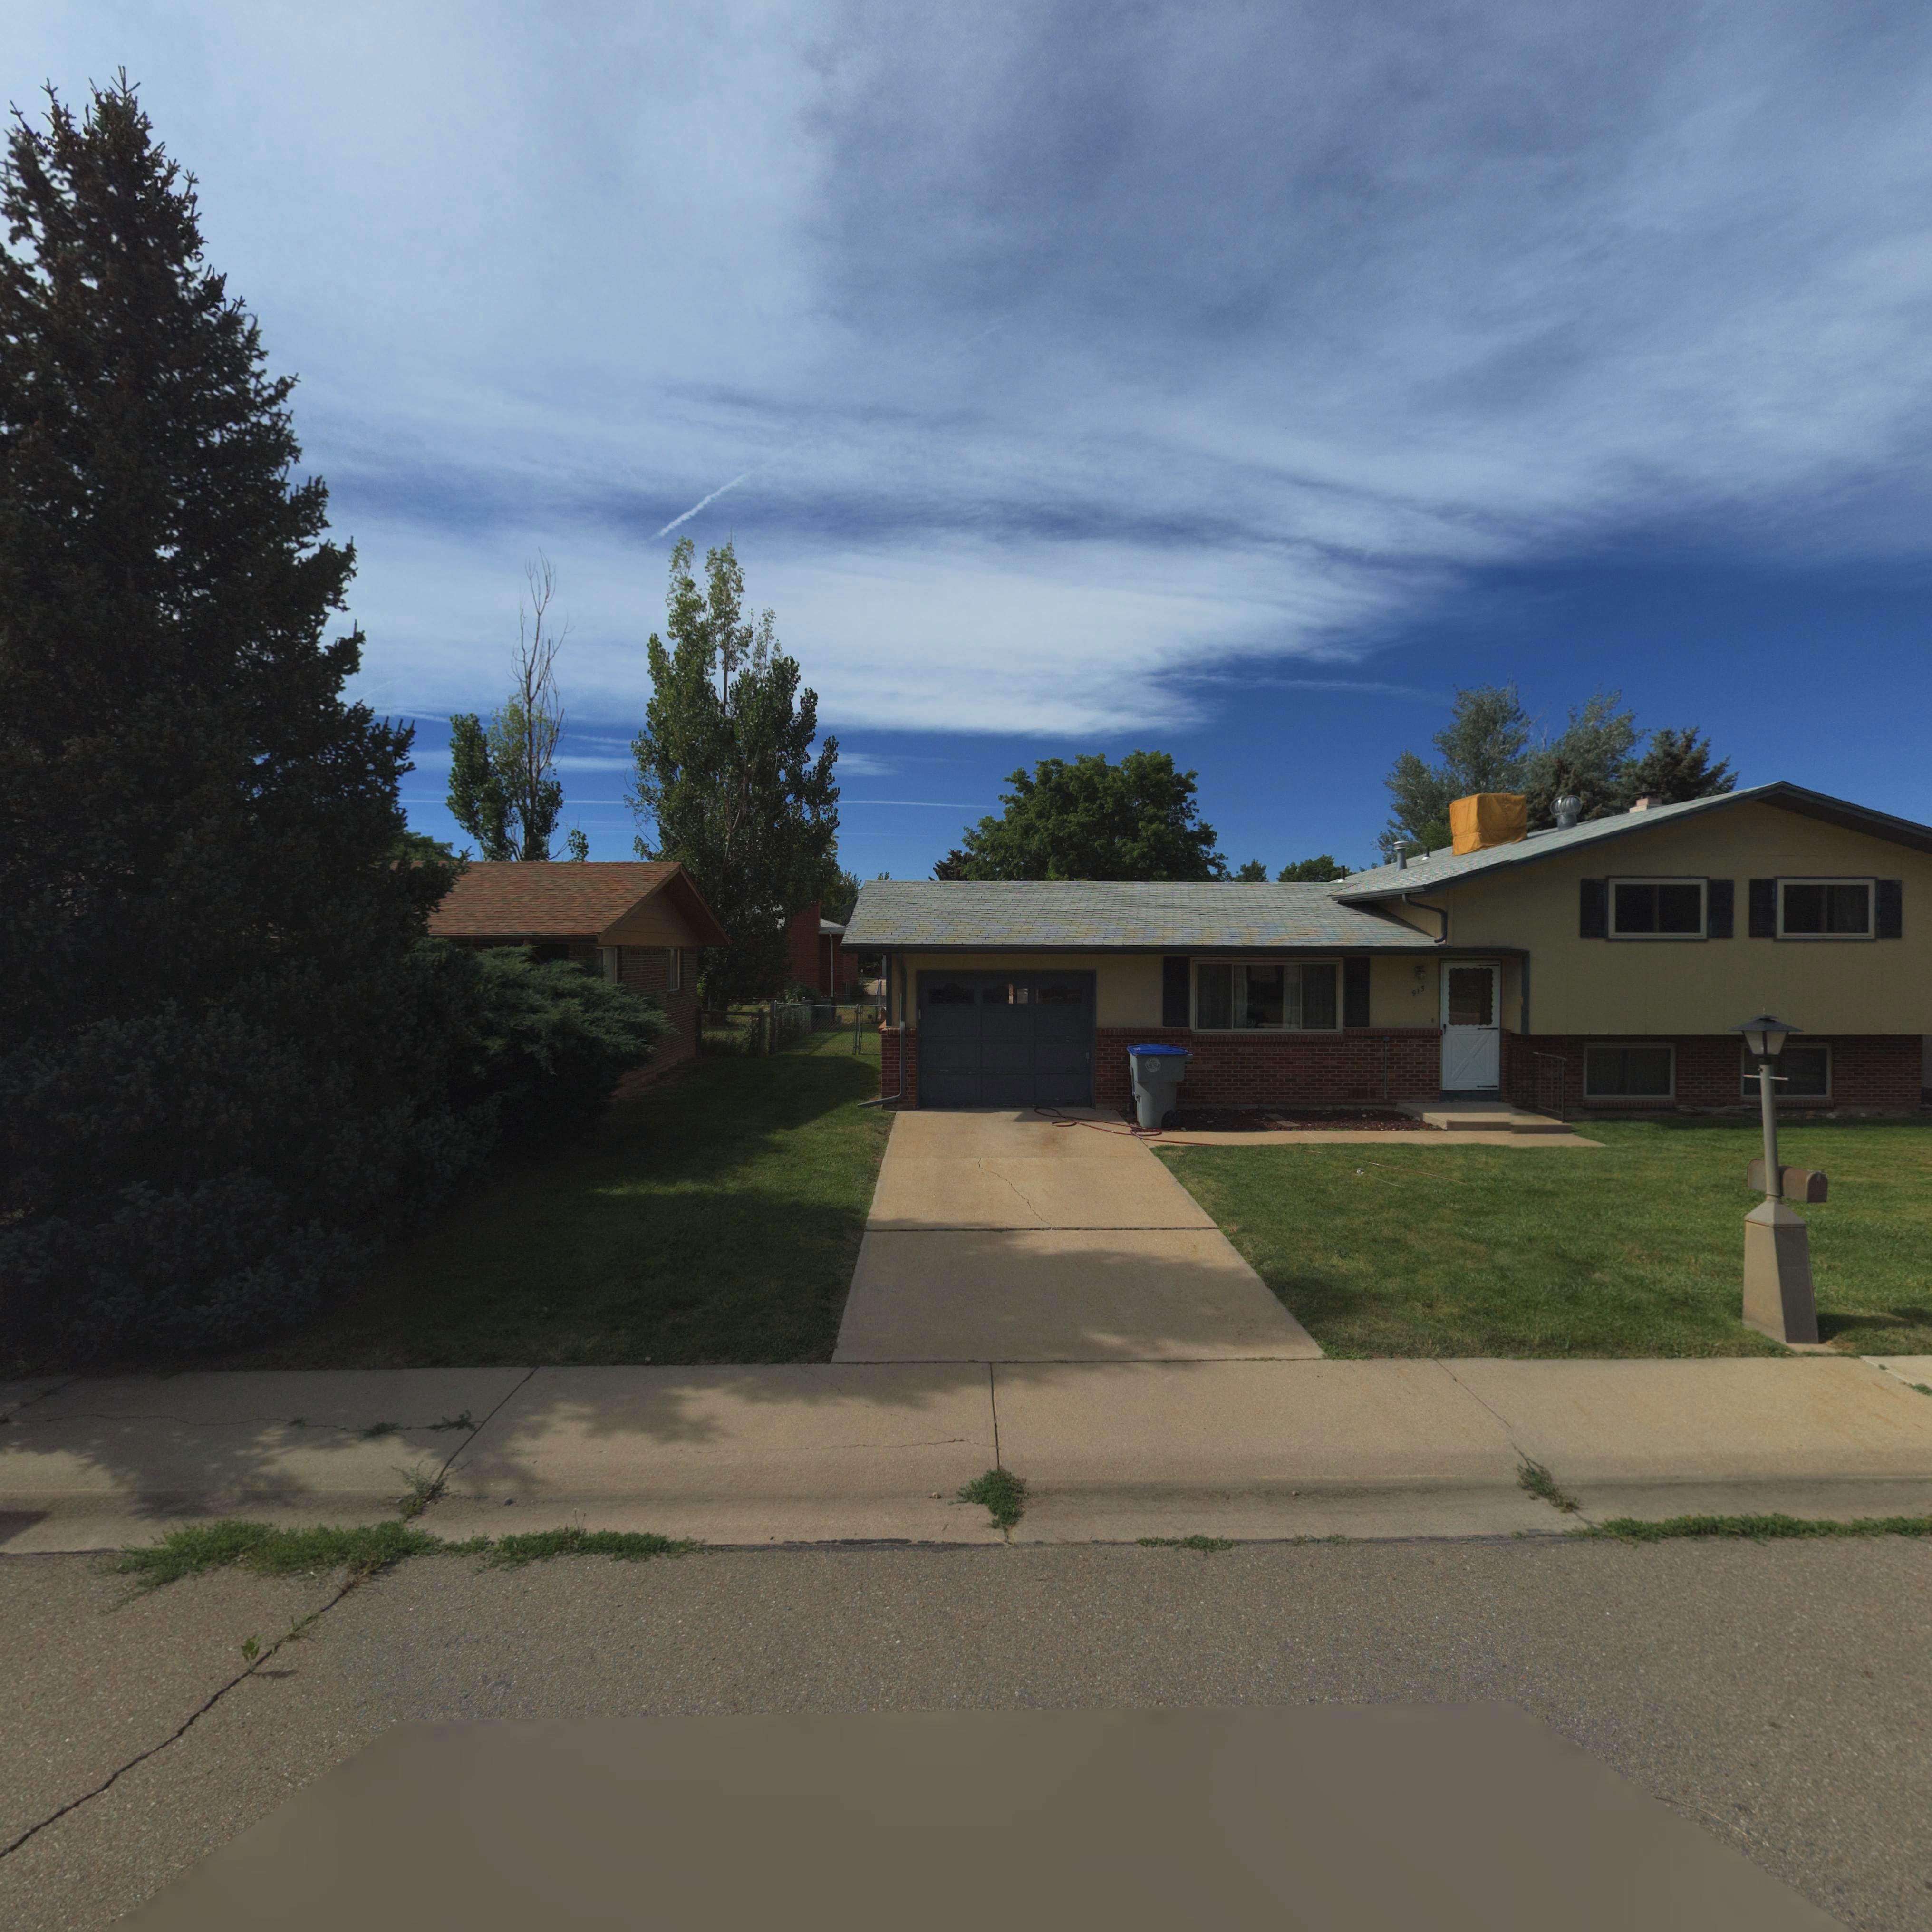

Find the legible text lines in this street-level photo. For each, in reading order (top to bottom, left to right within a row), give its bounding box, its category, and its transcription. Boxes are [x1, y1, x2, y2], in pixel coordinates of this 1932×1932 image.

[1411, 985, 1425, 997] StreetNumber: 915